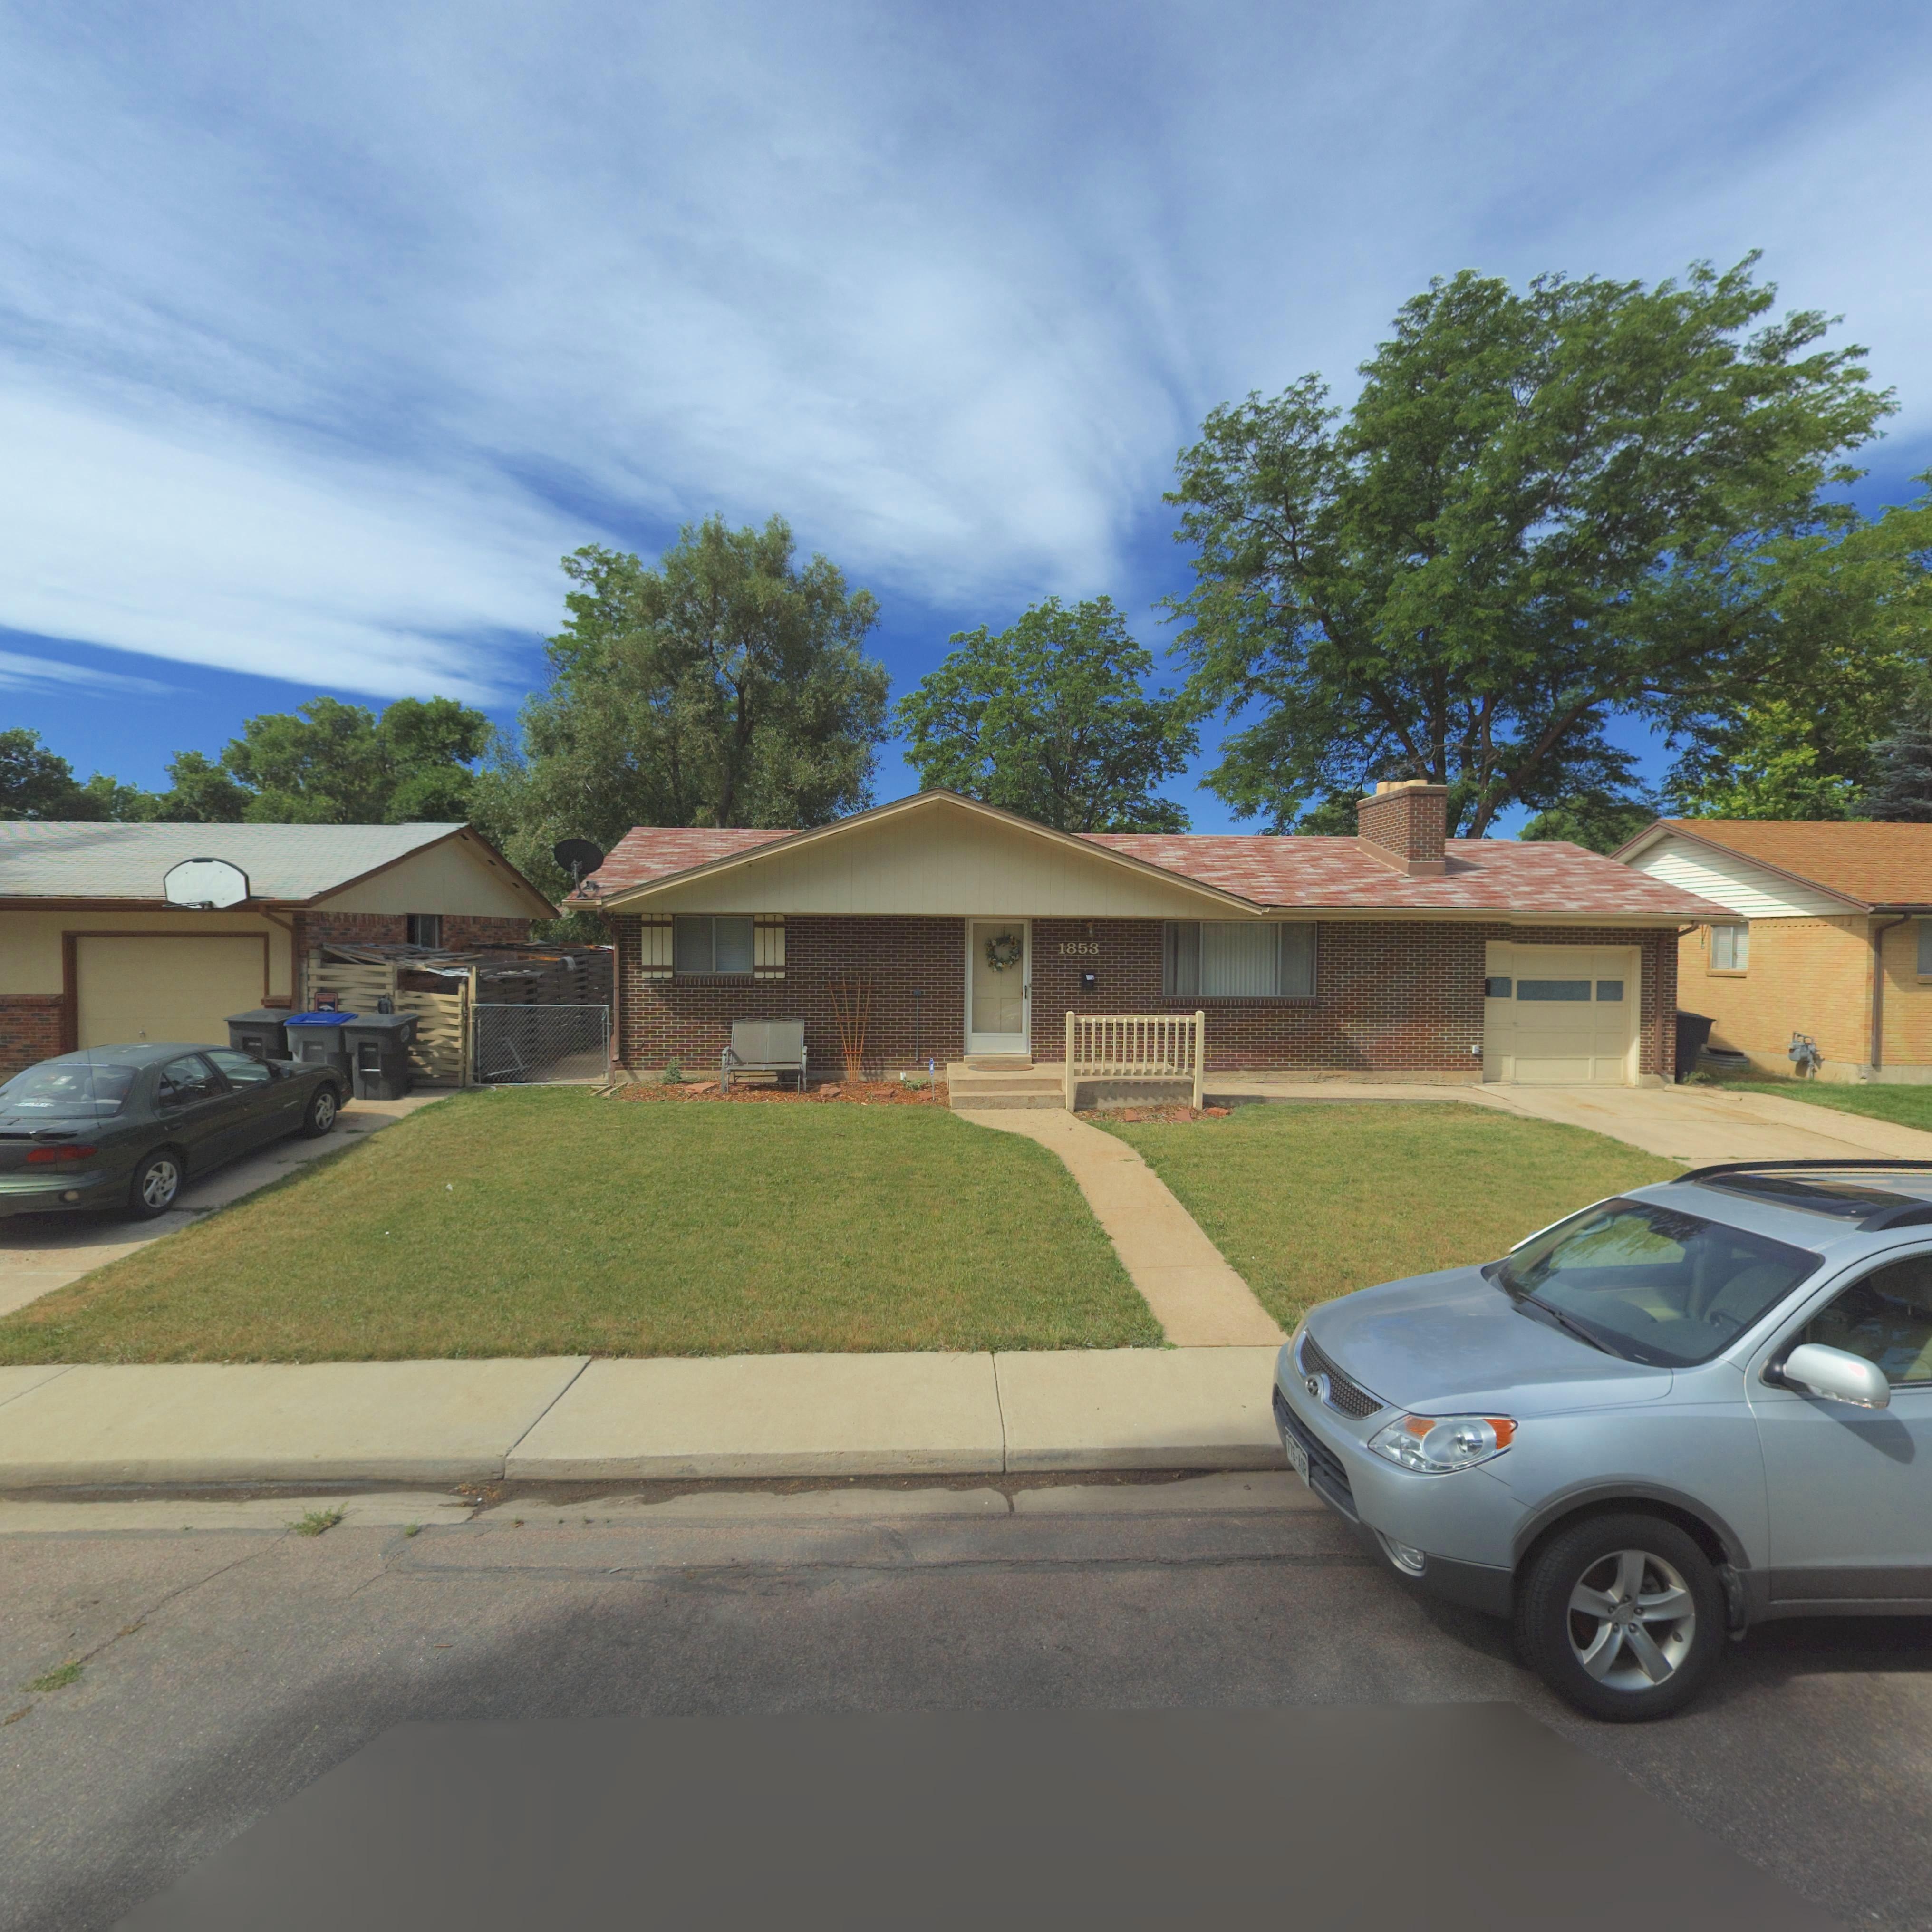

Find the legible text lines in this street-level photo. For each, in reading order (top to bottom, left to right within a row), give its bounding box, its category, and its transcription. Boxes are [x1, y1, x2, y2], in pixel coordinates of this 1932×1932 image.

[1058, 942, 1099, 955] StreetNumber: 1853